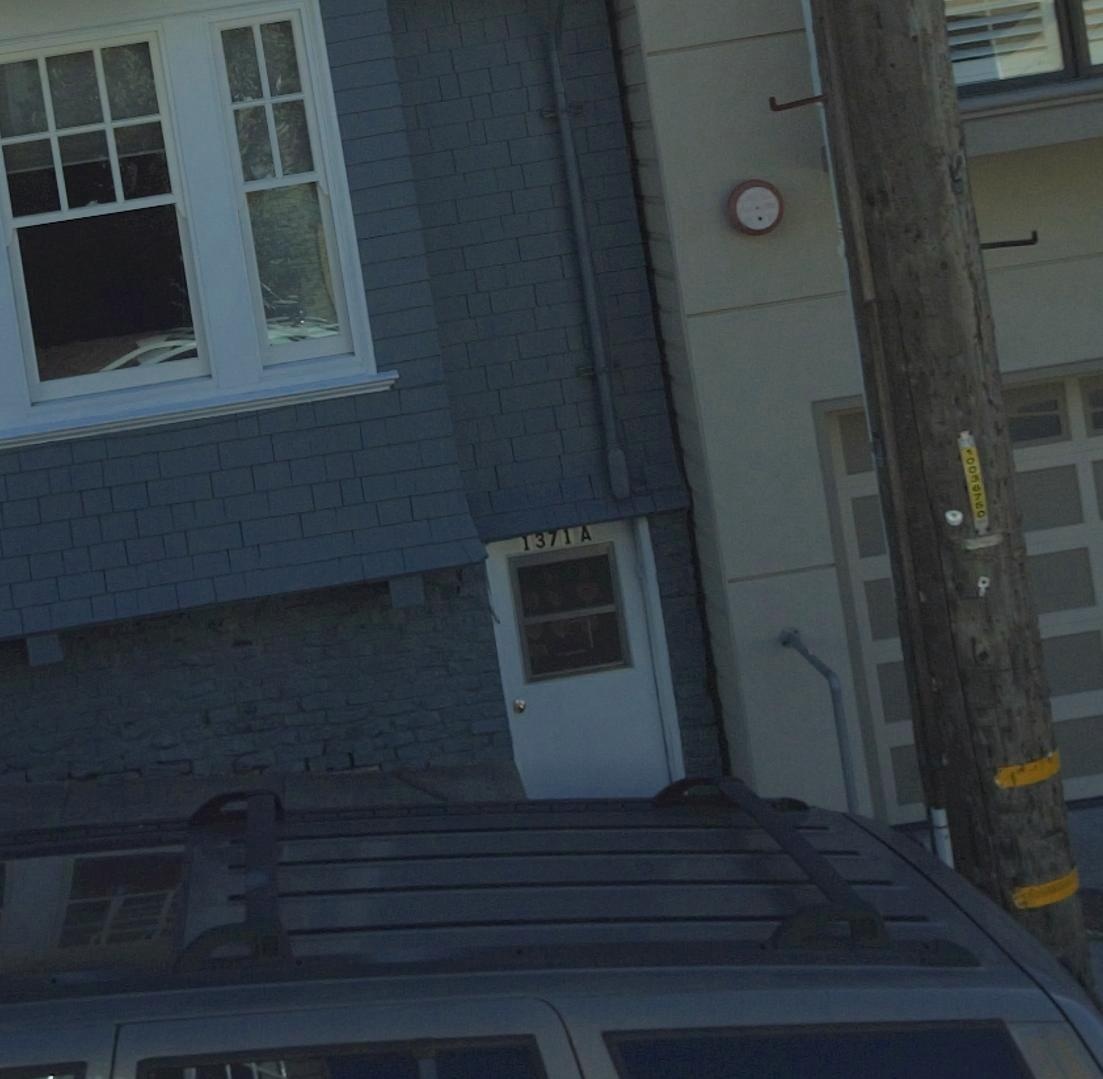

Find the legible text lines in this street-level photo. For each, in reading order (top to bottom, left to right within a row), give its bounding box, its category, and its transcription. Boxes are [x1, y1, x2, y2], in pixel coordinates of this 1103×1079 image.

[959, 445, 990, 522] None: 1003675
[518, 522, 594, 552] StreetNumber: 1371A